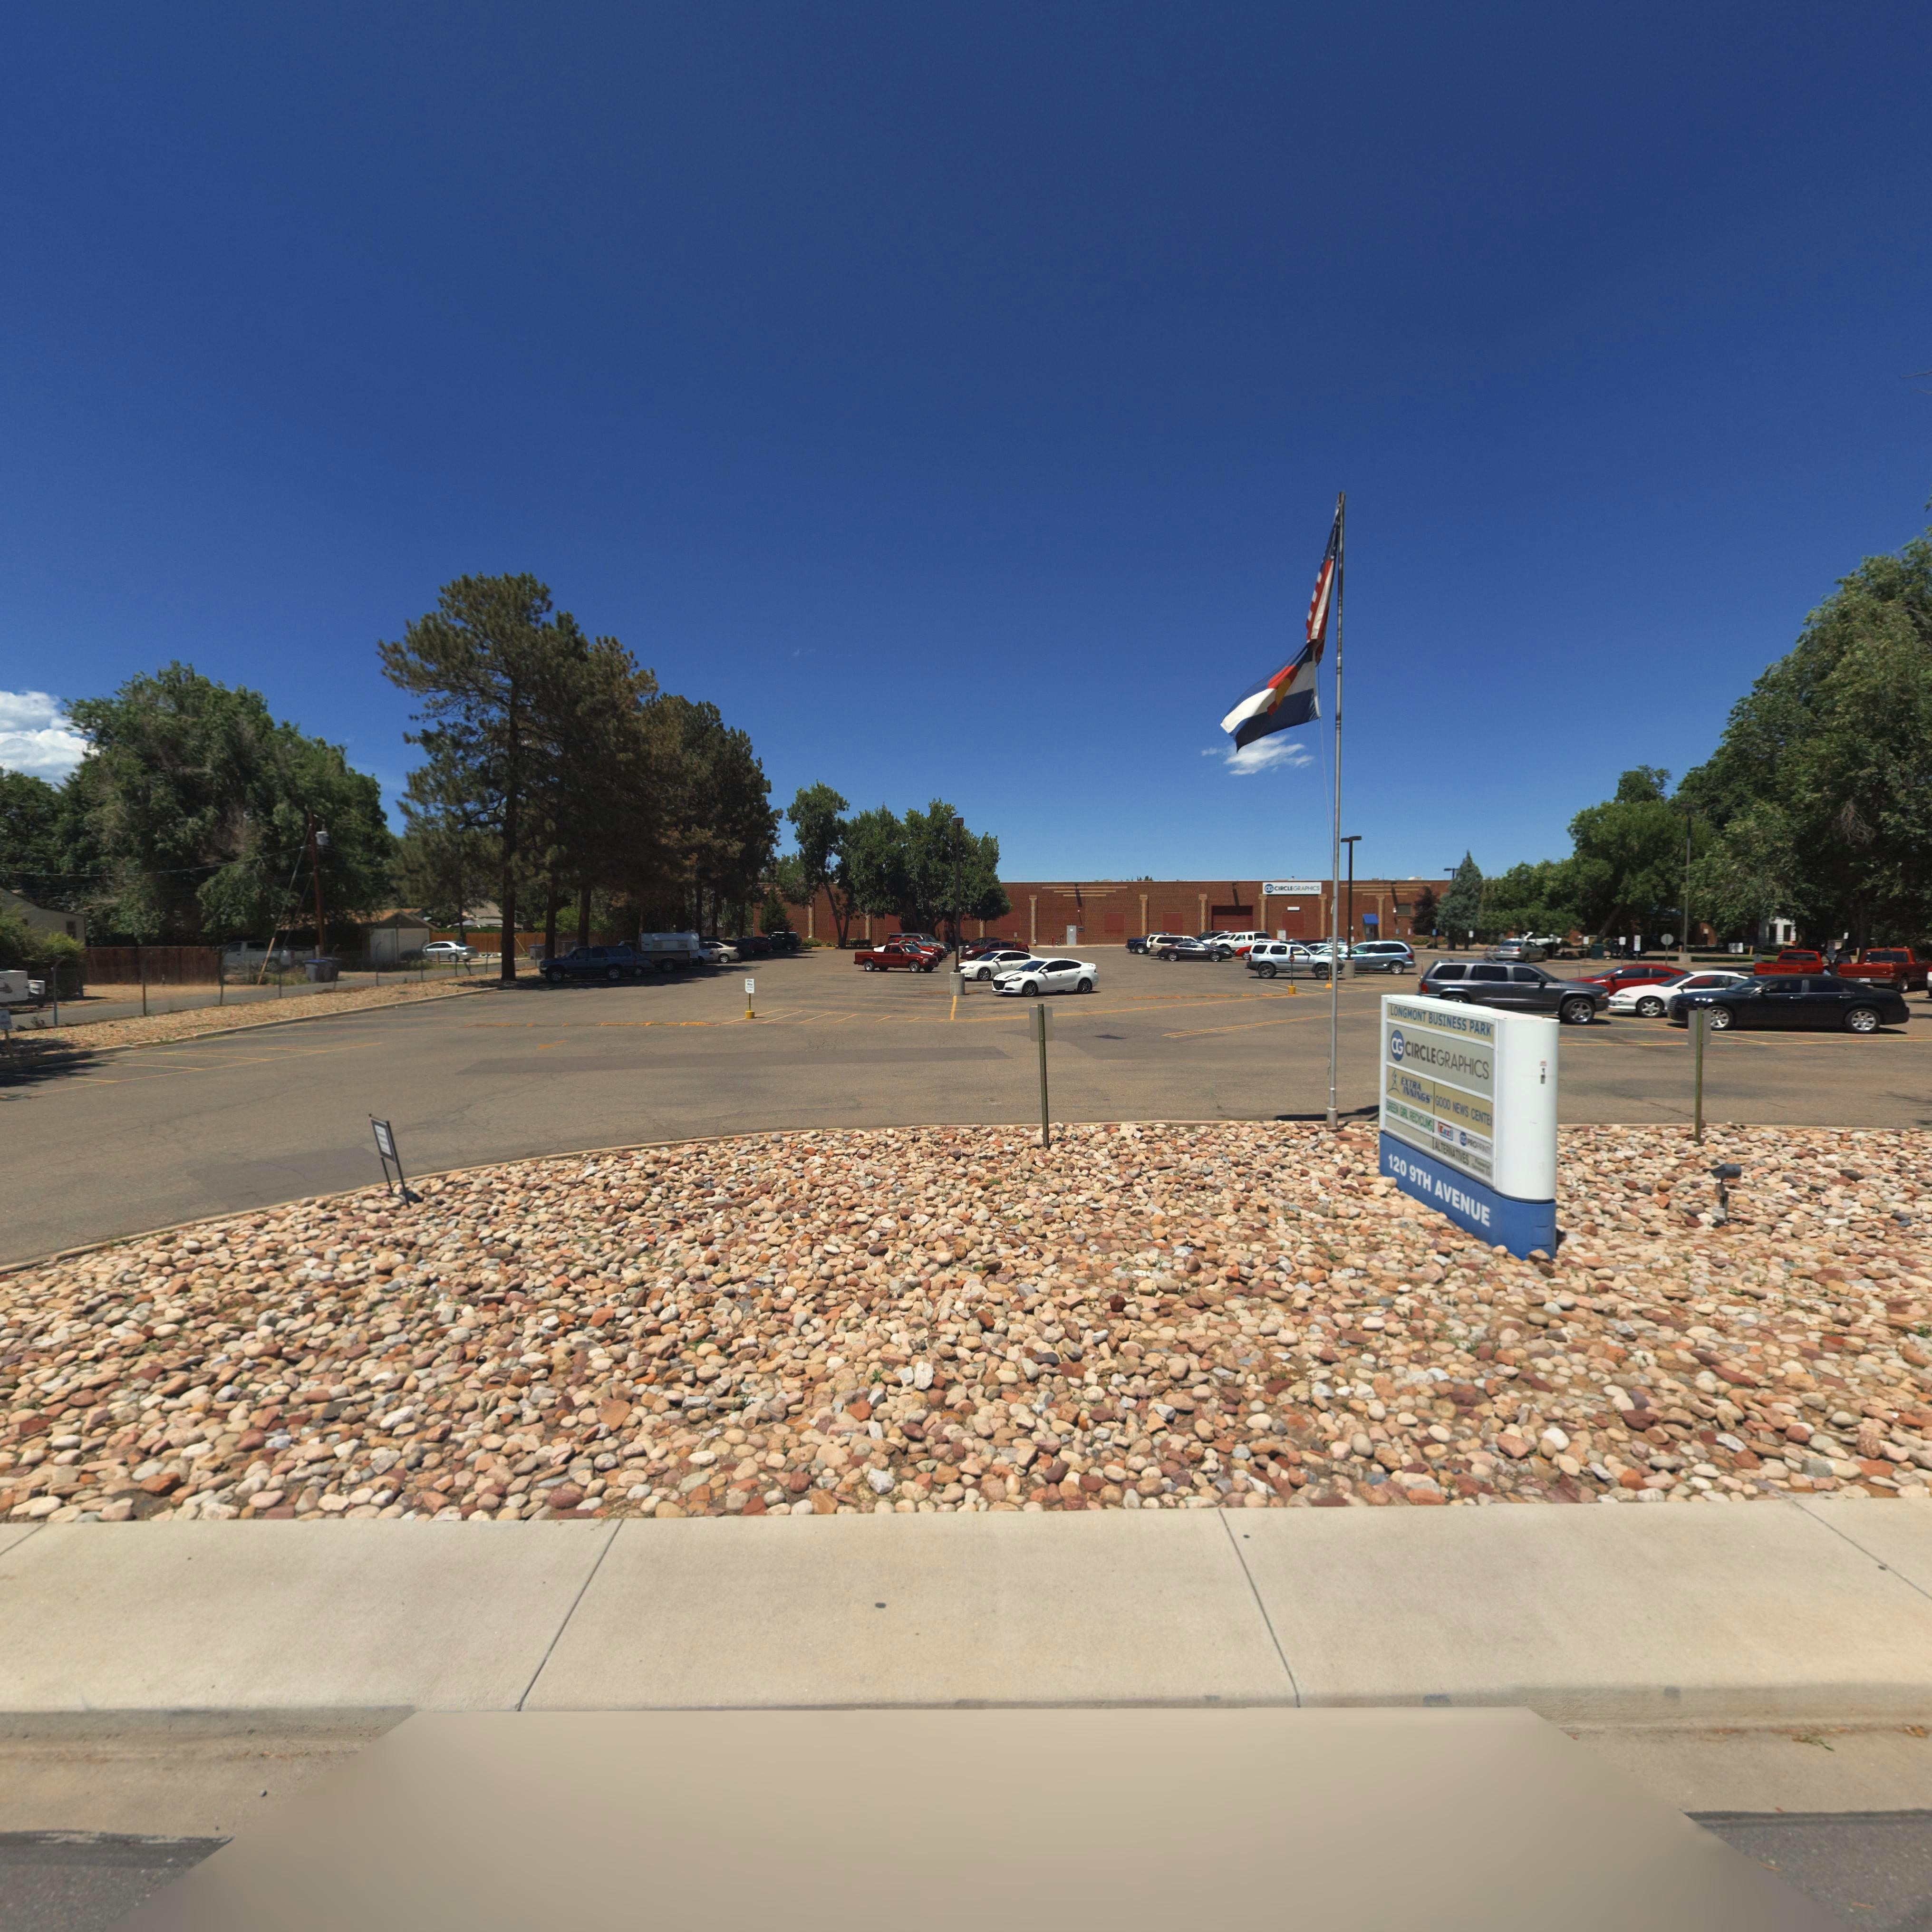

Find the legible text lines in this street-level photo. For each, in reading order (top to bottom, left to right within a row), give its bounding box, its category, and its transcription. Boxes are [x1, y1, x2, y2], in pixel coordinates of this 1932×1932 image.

[1274, 886, 1320, 890] BusinessName: CIRCLEGRAPHICS
[1404, 1041, 1489, 1080] BusinessName: CIRCLEGRAPHICS
[1401, 1076, 1420, 1092] BusinessName: EXTRA
[1403, 1086, 1430, 1103] BusinessName: I**I*GS
[1385, 1100, 1432, 1130] BusinessName: **EE* G*RL REC**L***
[1435, 1094, 1492, 1127] BusinessName: GOOD NEWS CENTE*
[1388, 1153, 1407, 1177] StreetNumber: 120
[1434, 1139, 1469, 1165] BusinessName: ALTER*AT**ES
[1409, 1165, 1490, 1227] StreetName: 9TH AVENUE